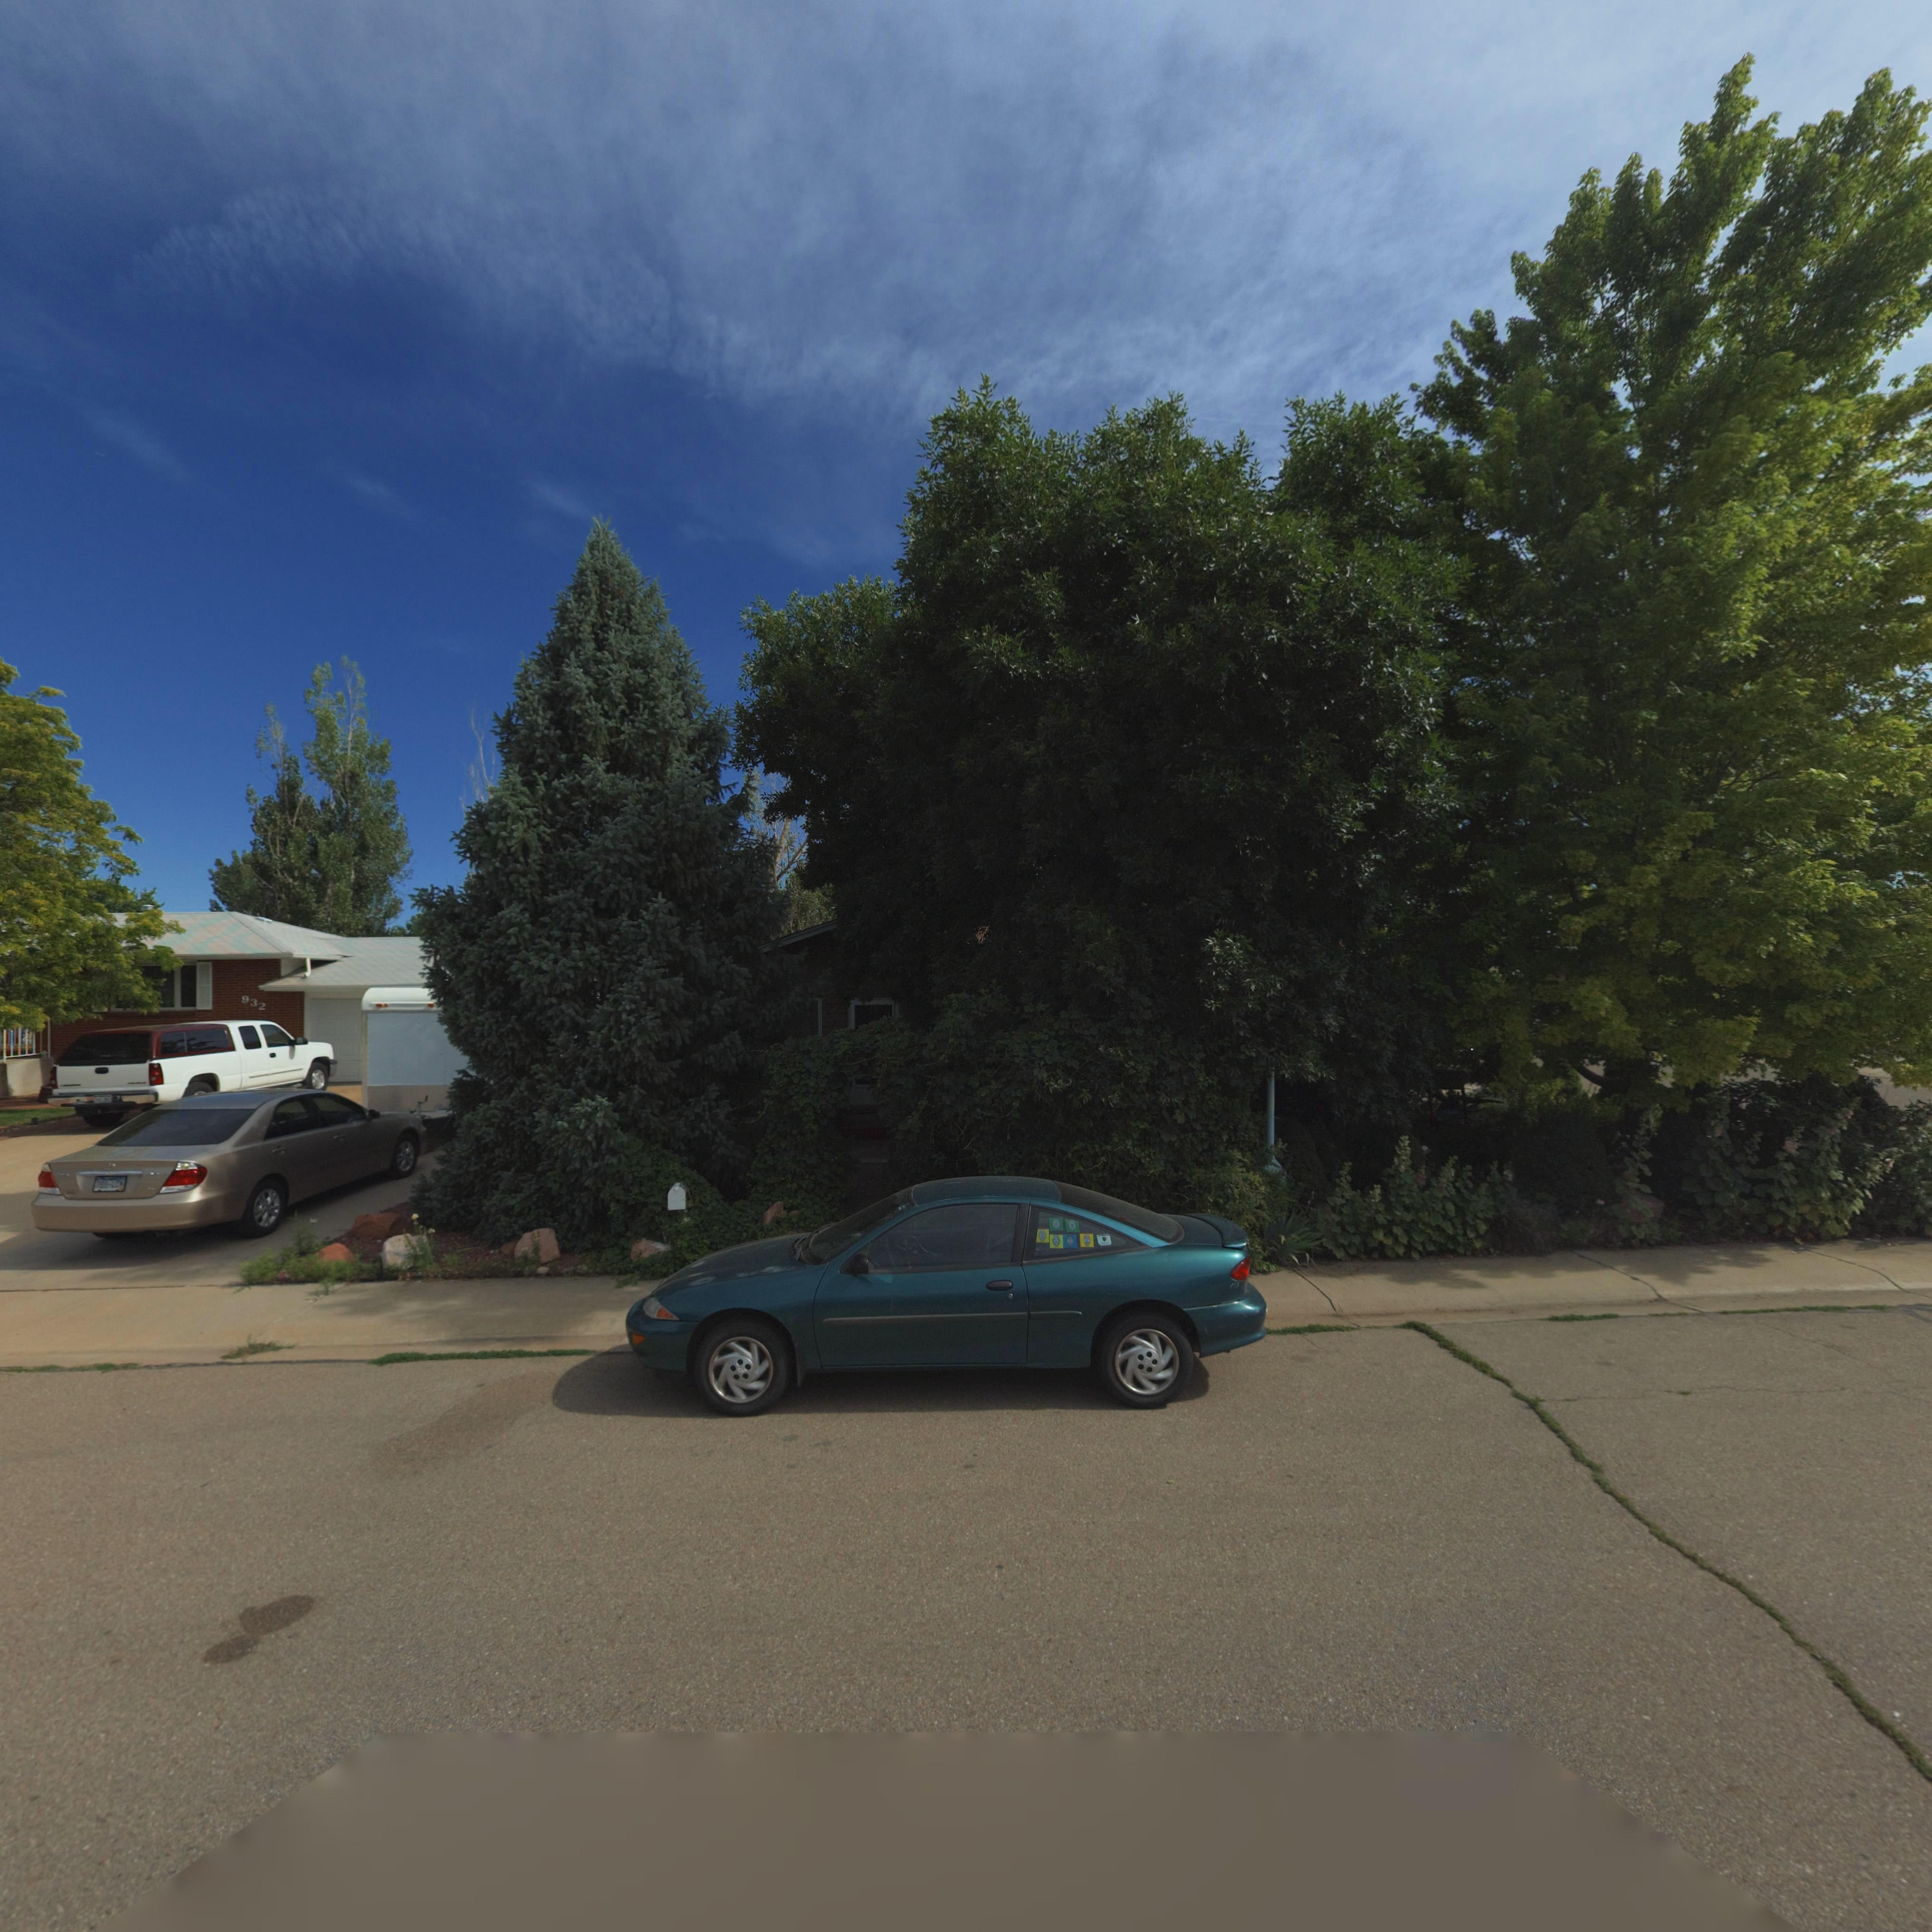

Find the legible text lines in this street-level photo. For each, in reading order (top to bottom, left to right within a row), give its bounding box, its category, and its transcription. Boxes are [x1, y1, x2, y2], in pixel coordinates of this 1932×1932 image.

[241, 994, 267, 1011] StreetNumber: 932